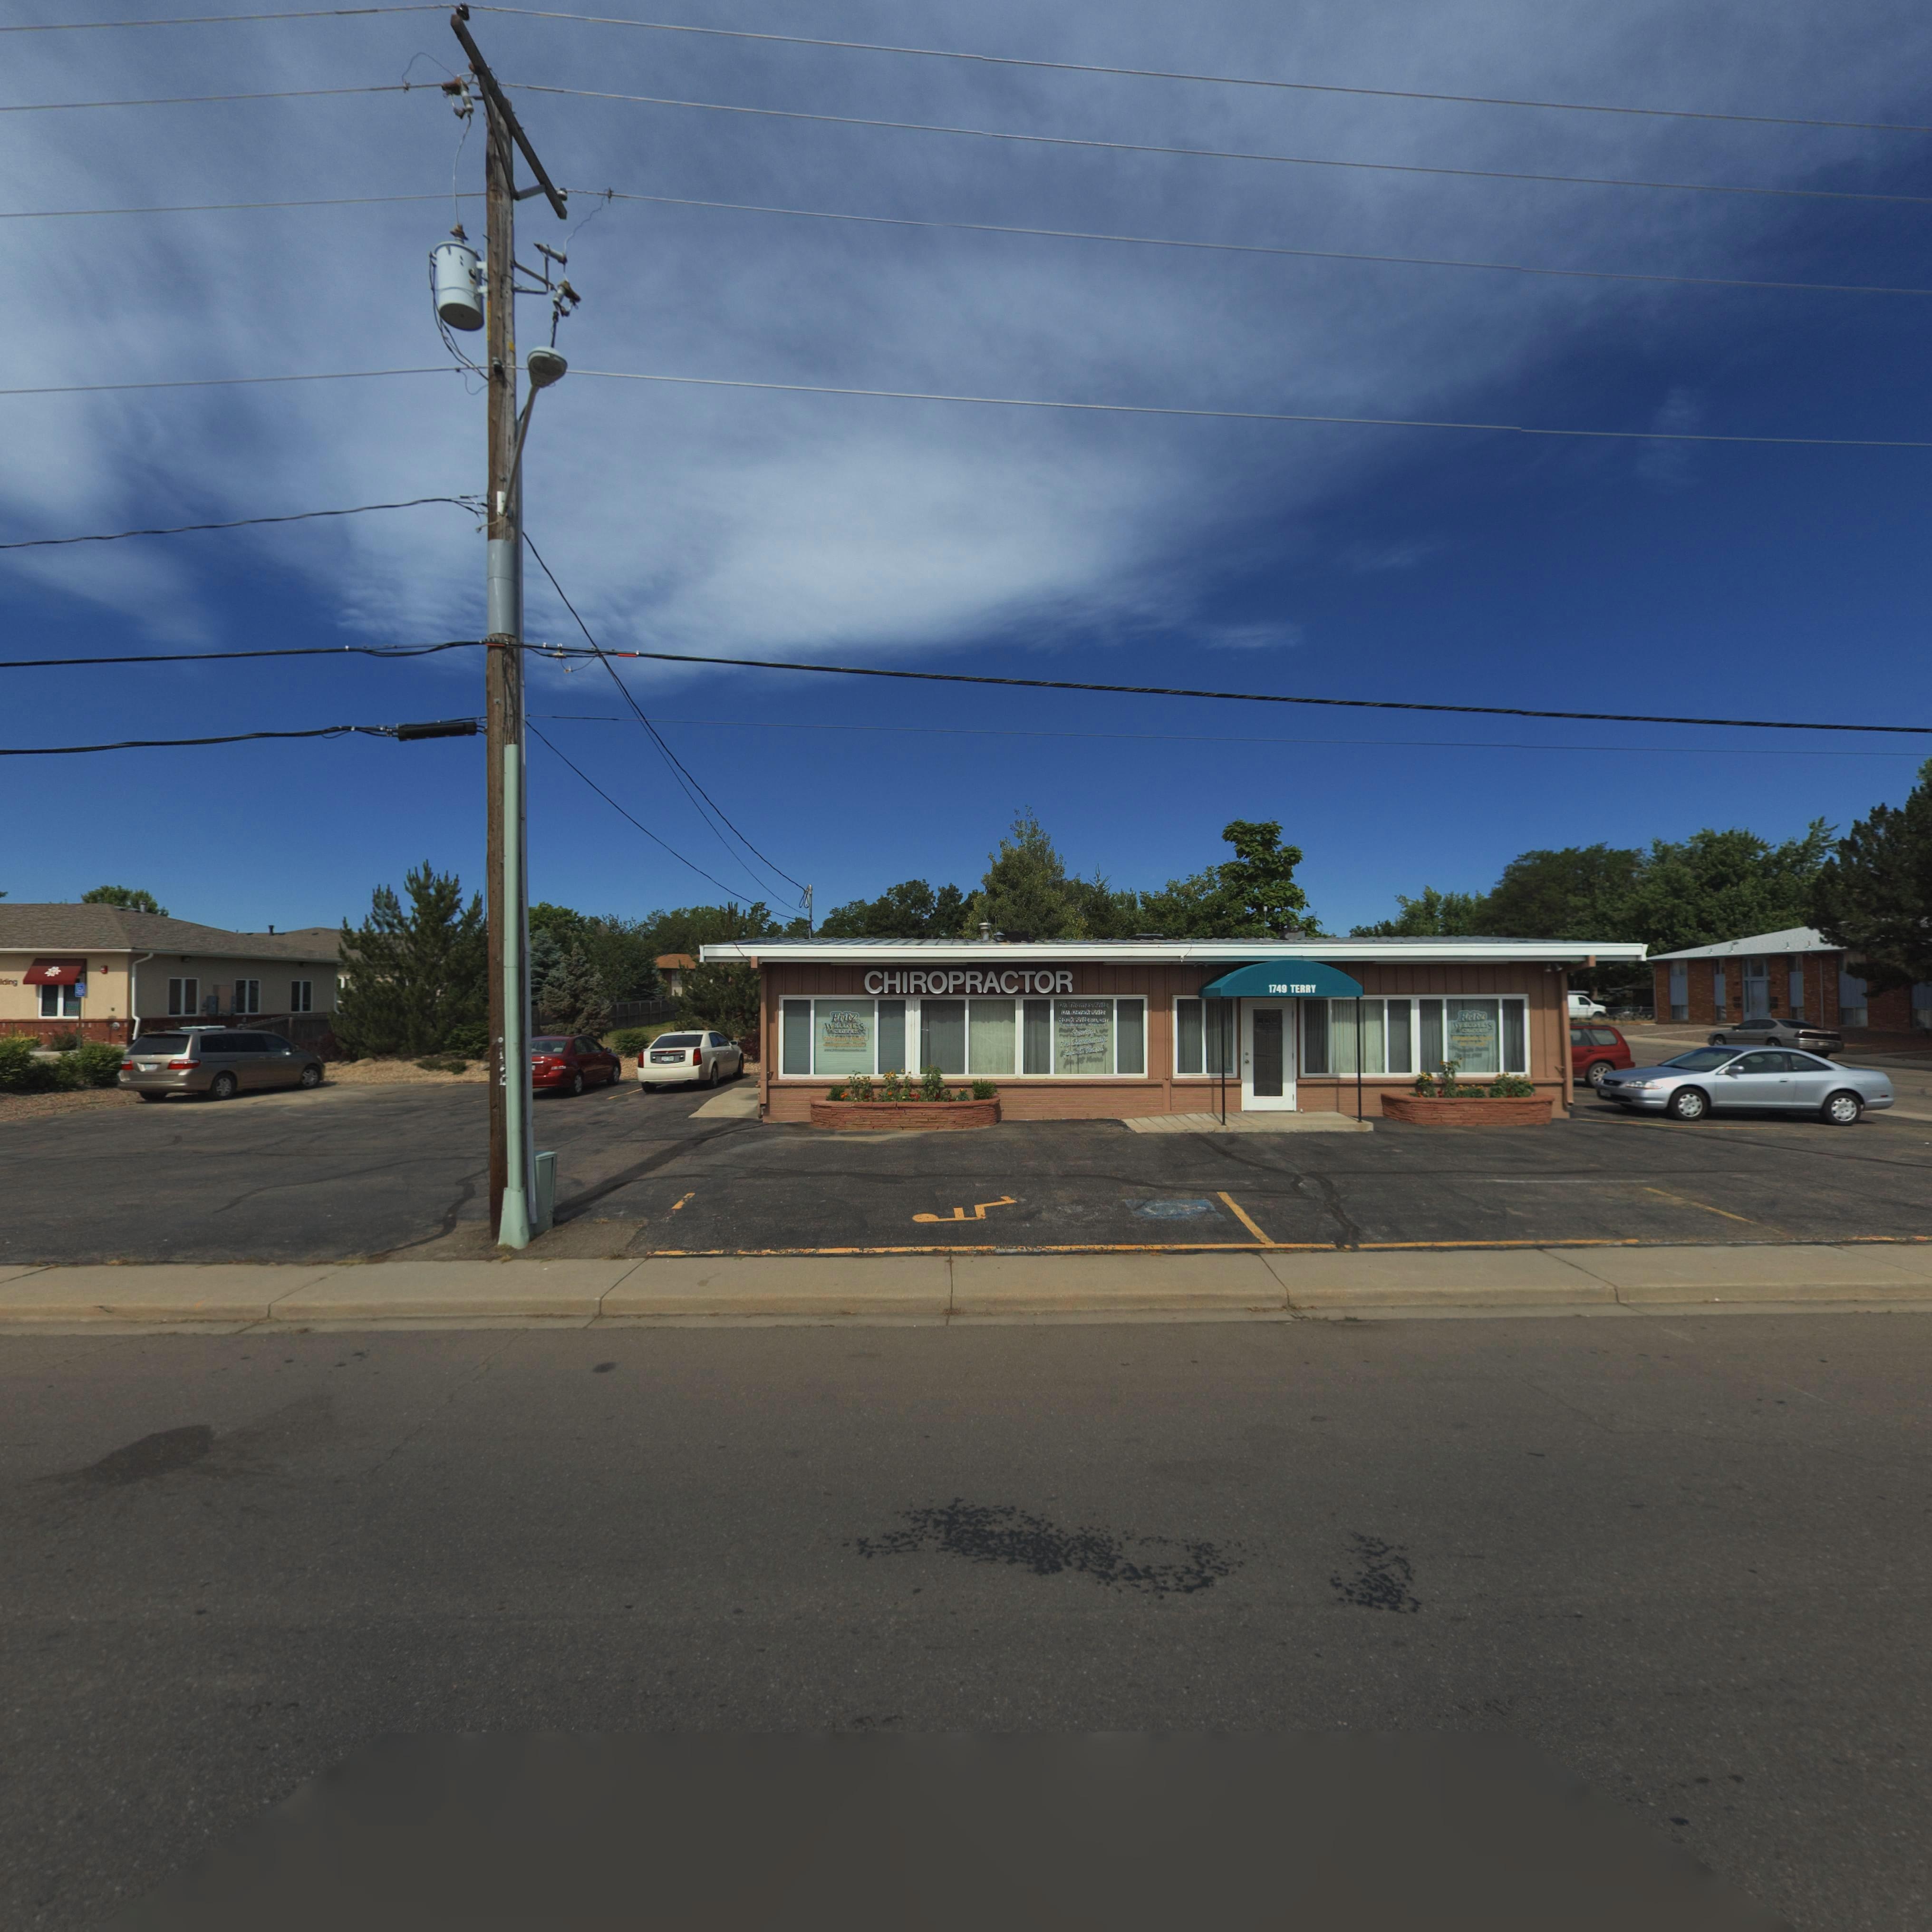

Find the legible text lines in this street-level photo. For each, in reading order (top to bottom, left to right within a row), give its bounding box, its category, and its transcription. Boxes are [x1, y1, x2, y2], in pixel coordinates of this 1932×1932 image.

[1268, 984, 1288, 994] StreetNumber: 1749
[1289, 984, 1316, 994] StreetName: TERRY
[831, 1012, 857, 1022] BusinessName: Fritz
[1459, 1011, 1485, 1021] BusinessName: Fritz
[823, 1022, 865, 1032] BusinessName: WELLNESS
[833, 1028, 859, 1034] BusinessName: C*NT*R
[1451, 1021, 1493, 1031] BusinessName: WELLNESS
[1461, 1027, 1488, 1033] BusinessName: C*****